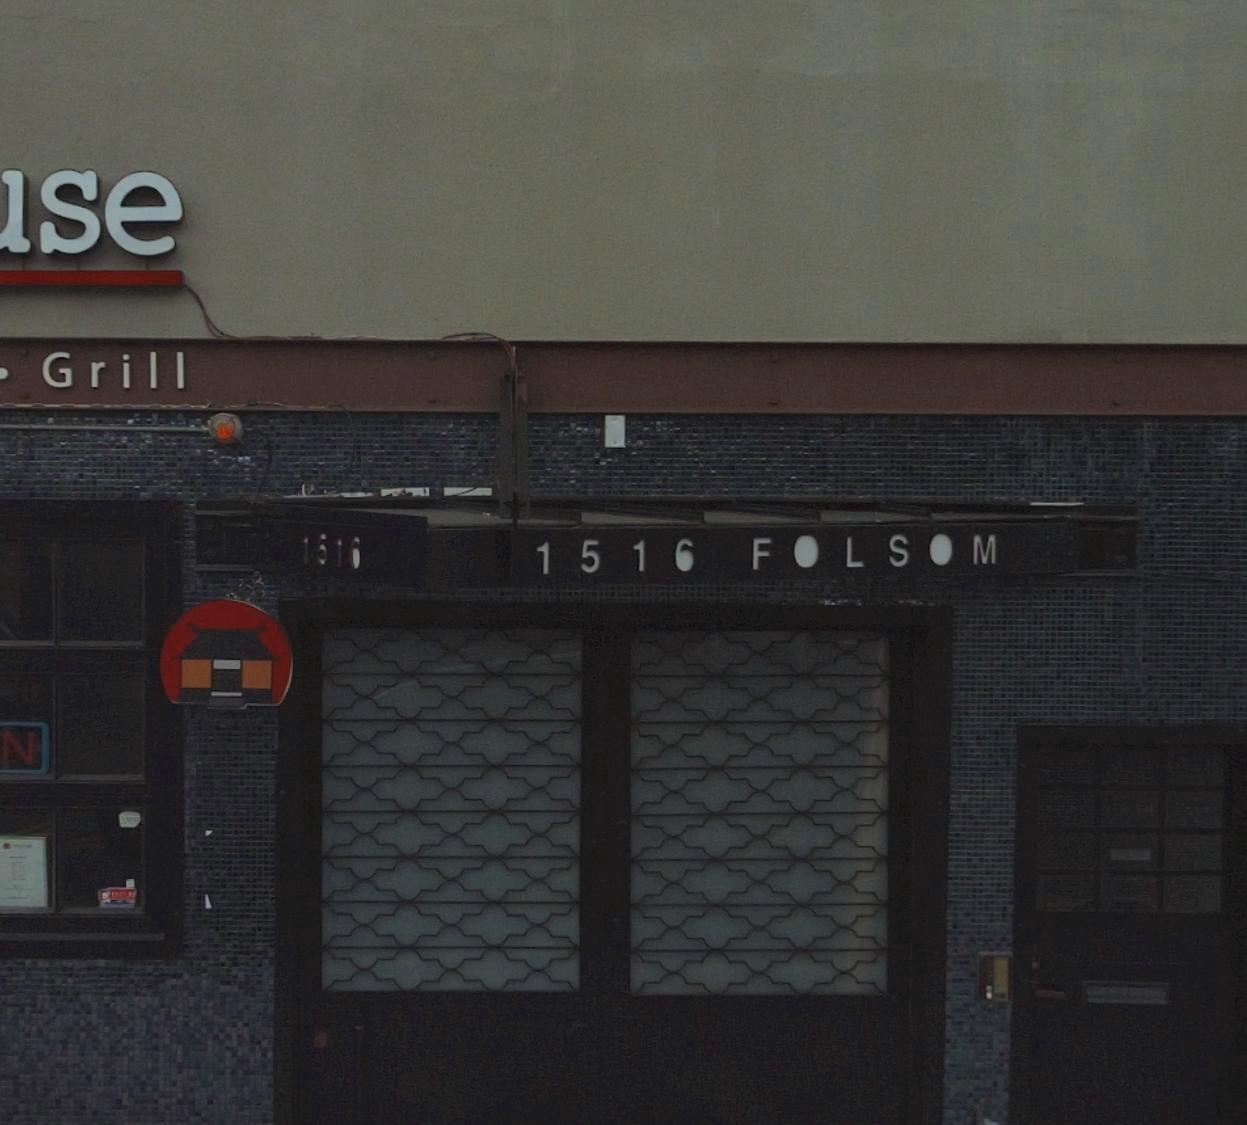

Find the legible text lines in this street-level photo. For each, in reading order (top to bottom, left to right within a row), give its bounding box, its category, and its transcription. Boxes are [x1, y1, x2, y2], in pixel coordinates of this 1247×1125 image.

[33, 163, 190, 264] BusinessName: se
[38, 346, 190, 394] None: Grill
[298, 528, 365, 574] StreetNumber: 1516
[534, 535, 696, 576] StreetNumber: 1516
[749, 530, 1000, 575] StreetName: FOLSOM
[0, 727, 38, 768] None: N